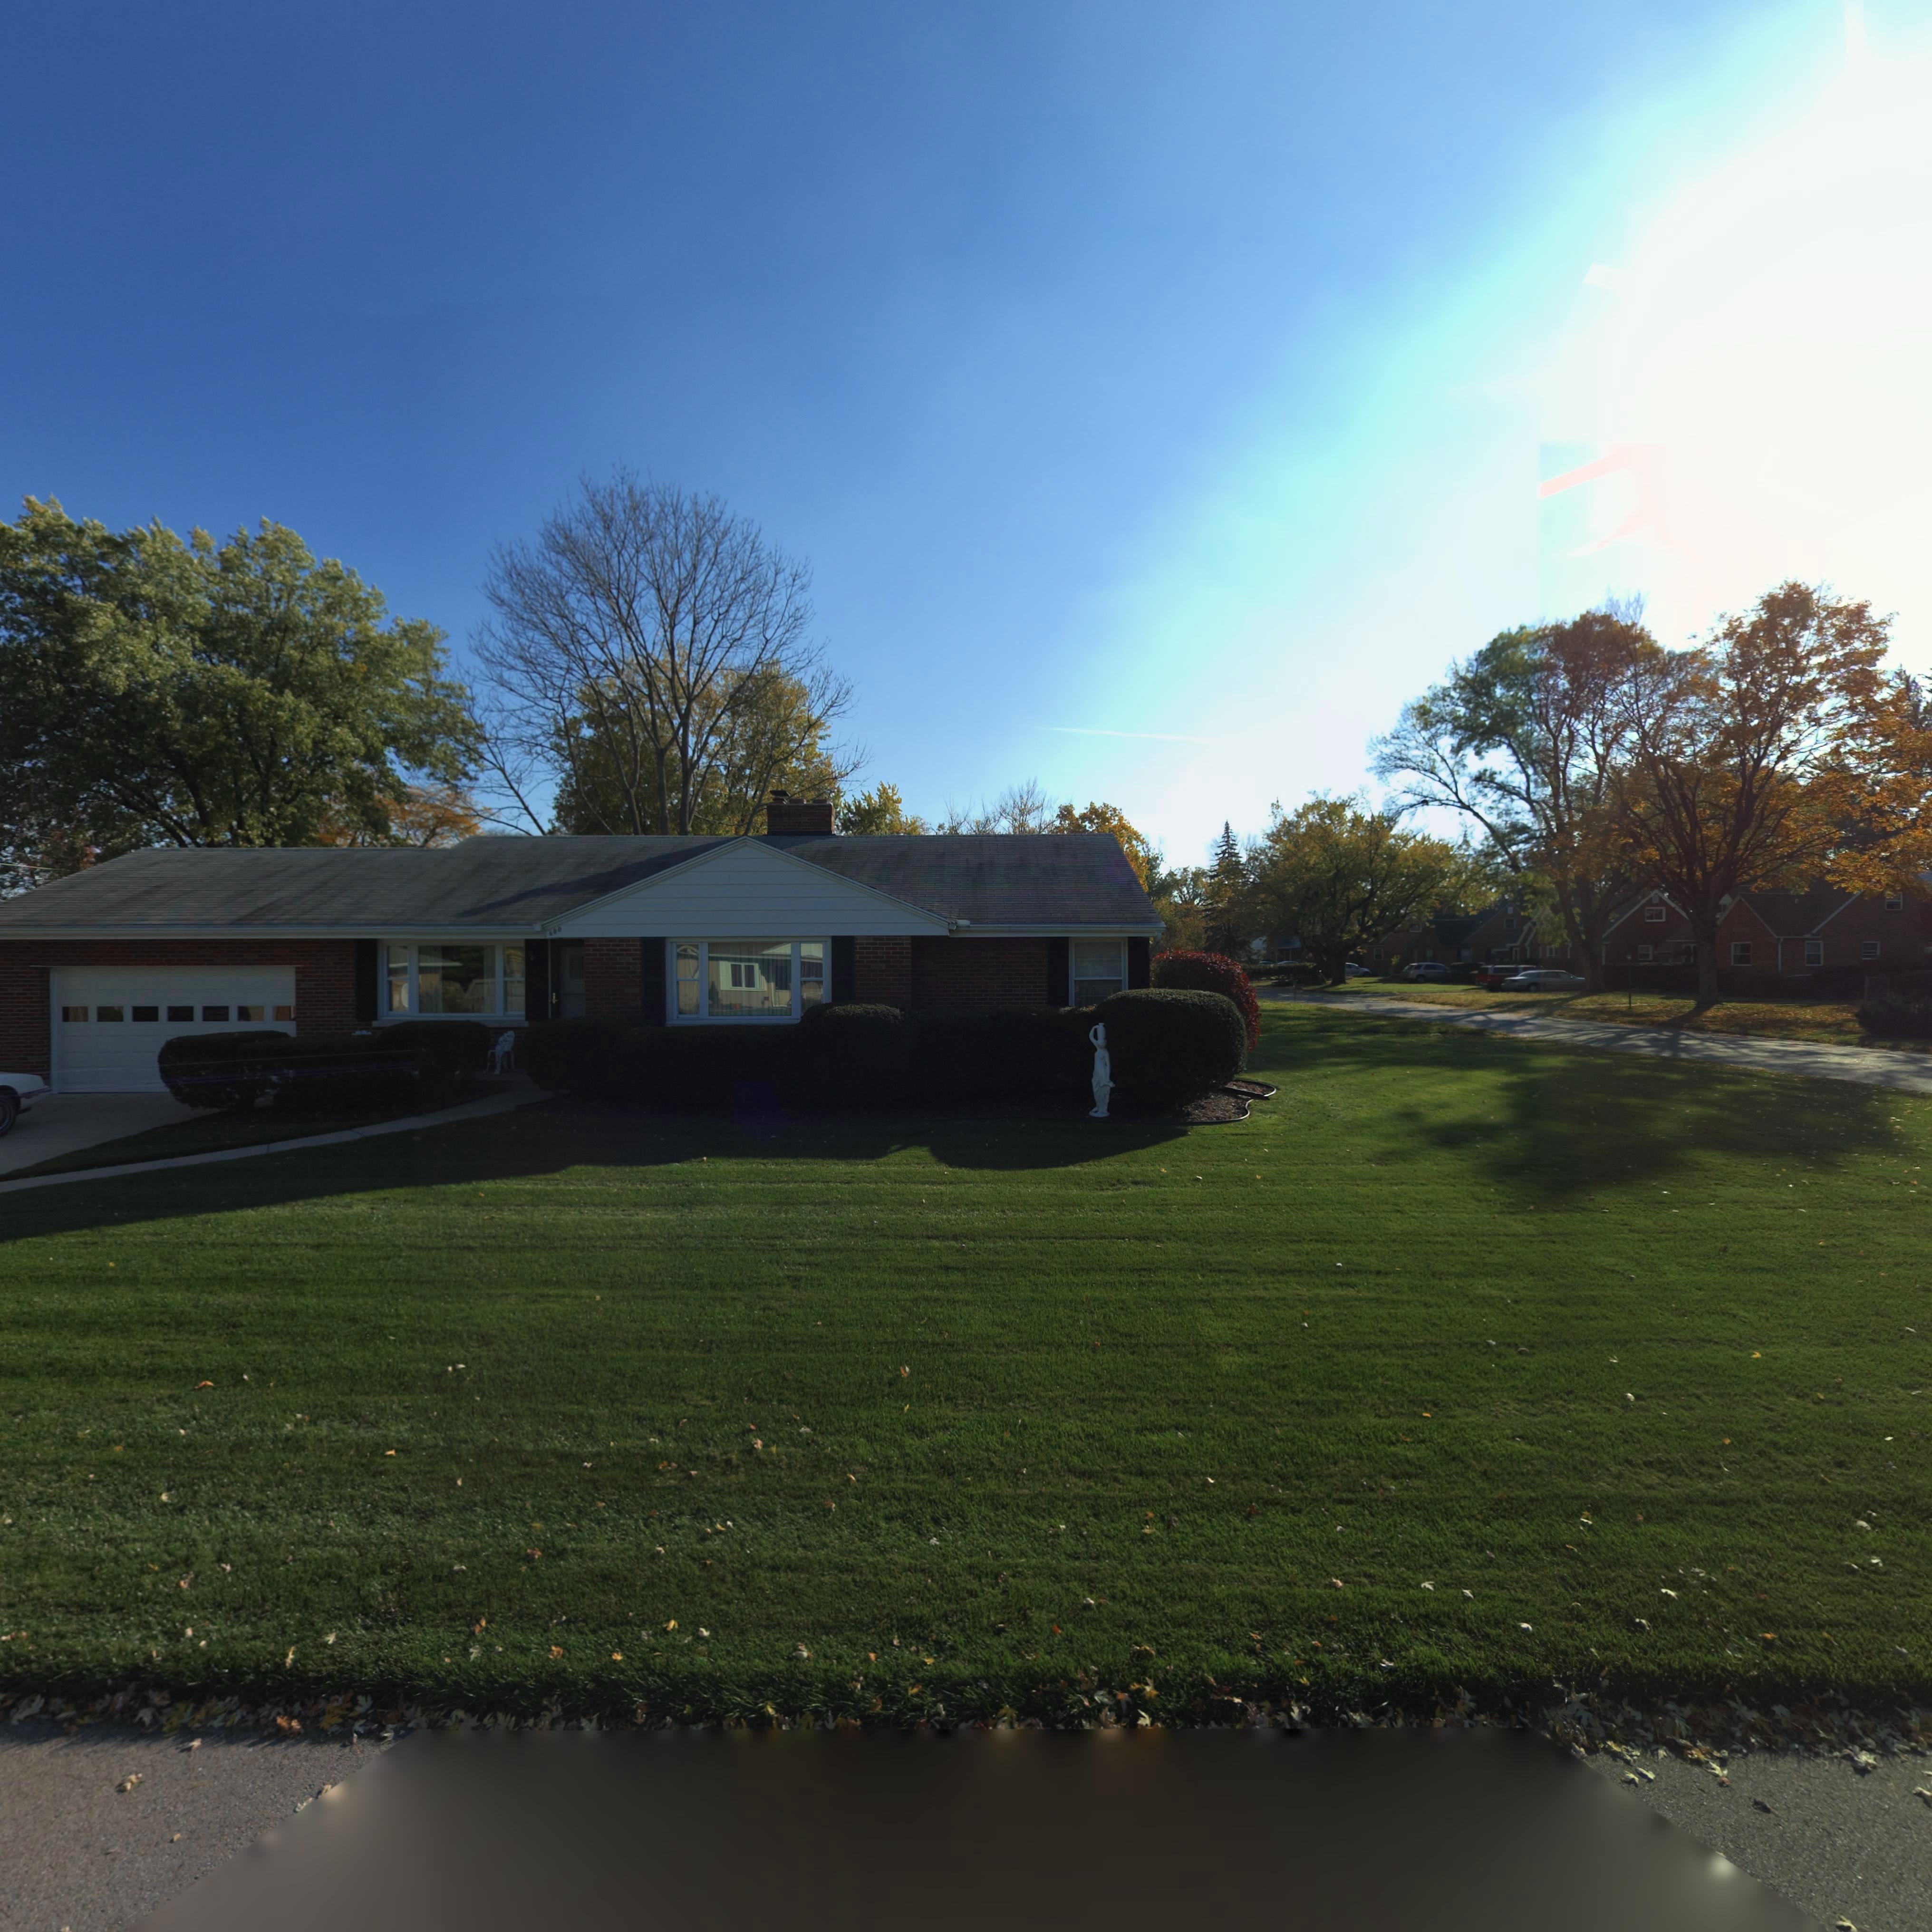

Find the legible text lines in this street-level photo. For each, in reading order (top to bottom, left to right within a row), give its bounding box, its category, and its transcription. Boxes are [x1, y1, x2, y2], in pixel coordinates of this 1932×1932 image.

[548, 925, 563, 937] StreetNumber: 600